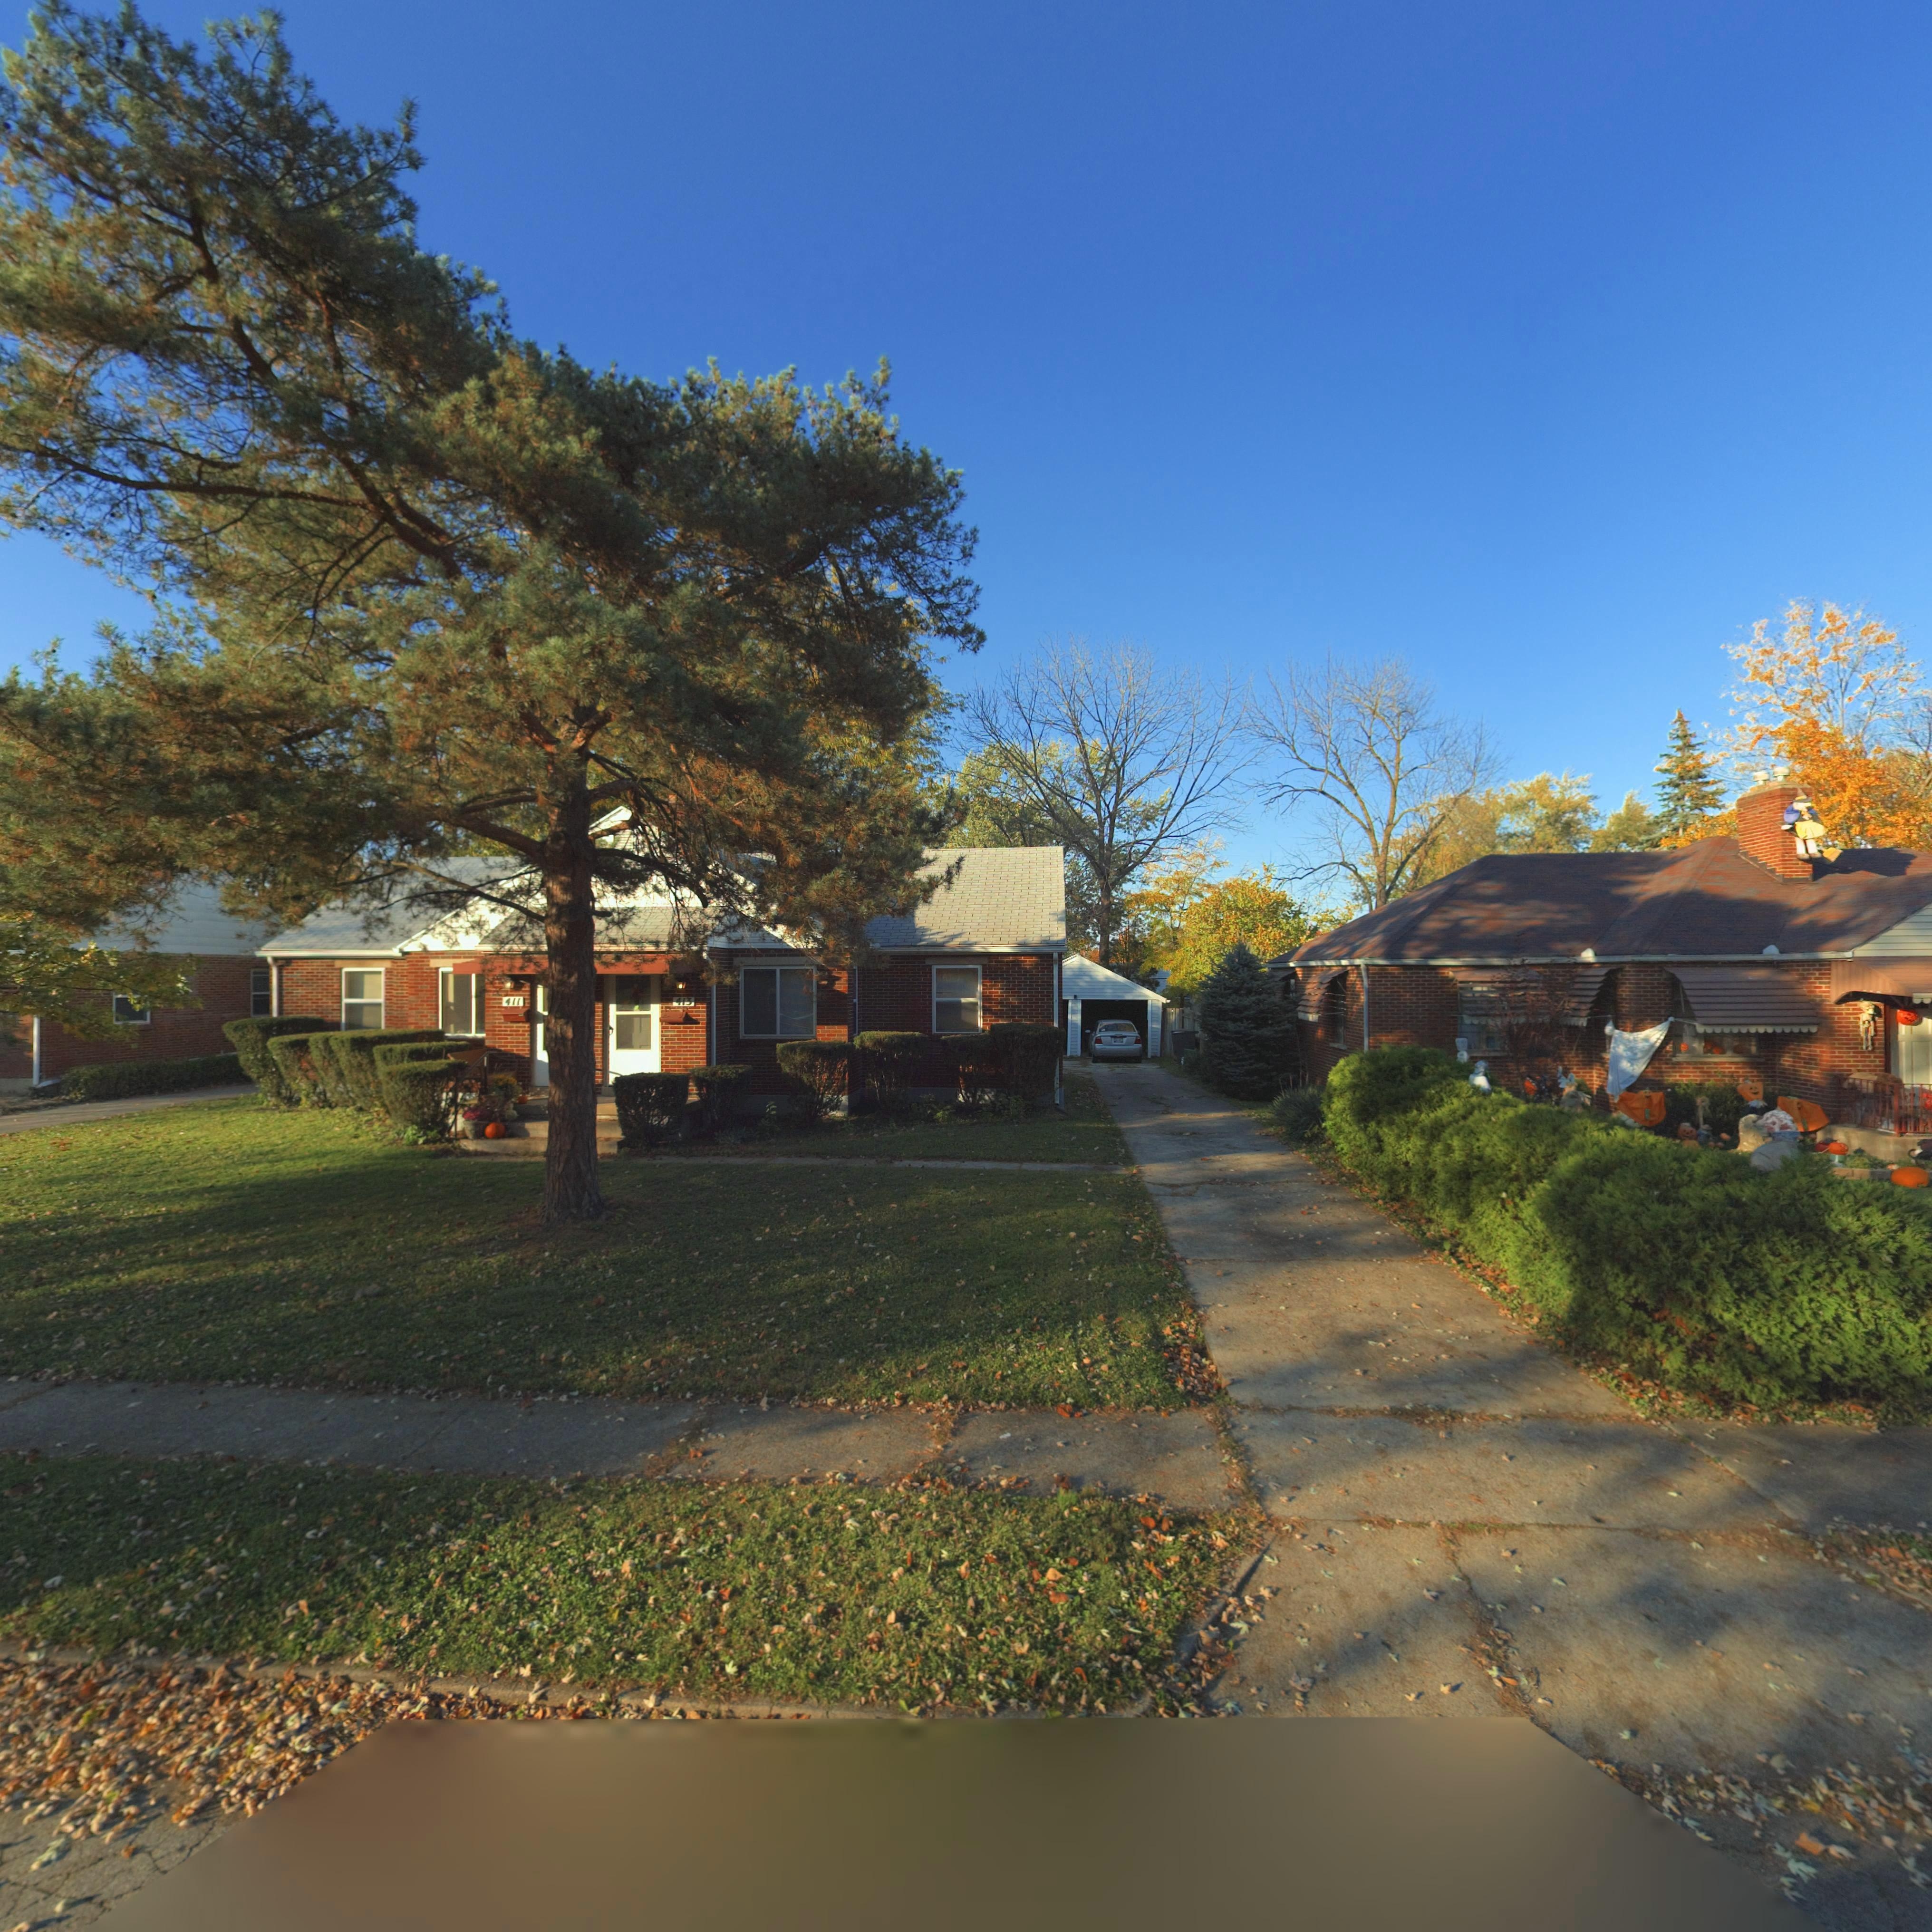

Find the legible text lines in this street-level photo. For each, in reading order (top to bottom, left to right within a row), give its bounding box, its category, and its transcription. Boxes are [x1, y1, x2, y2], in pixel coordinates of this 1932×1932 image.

[504, 997, 522, 1007] StreetNumber: 411
[675, 997, 693, 1006] StreetNumber: 413